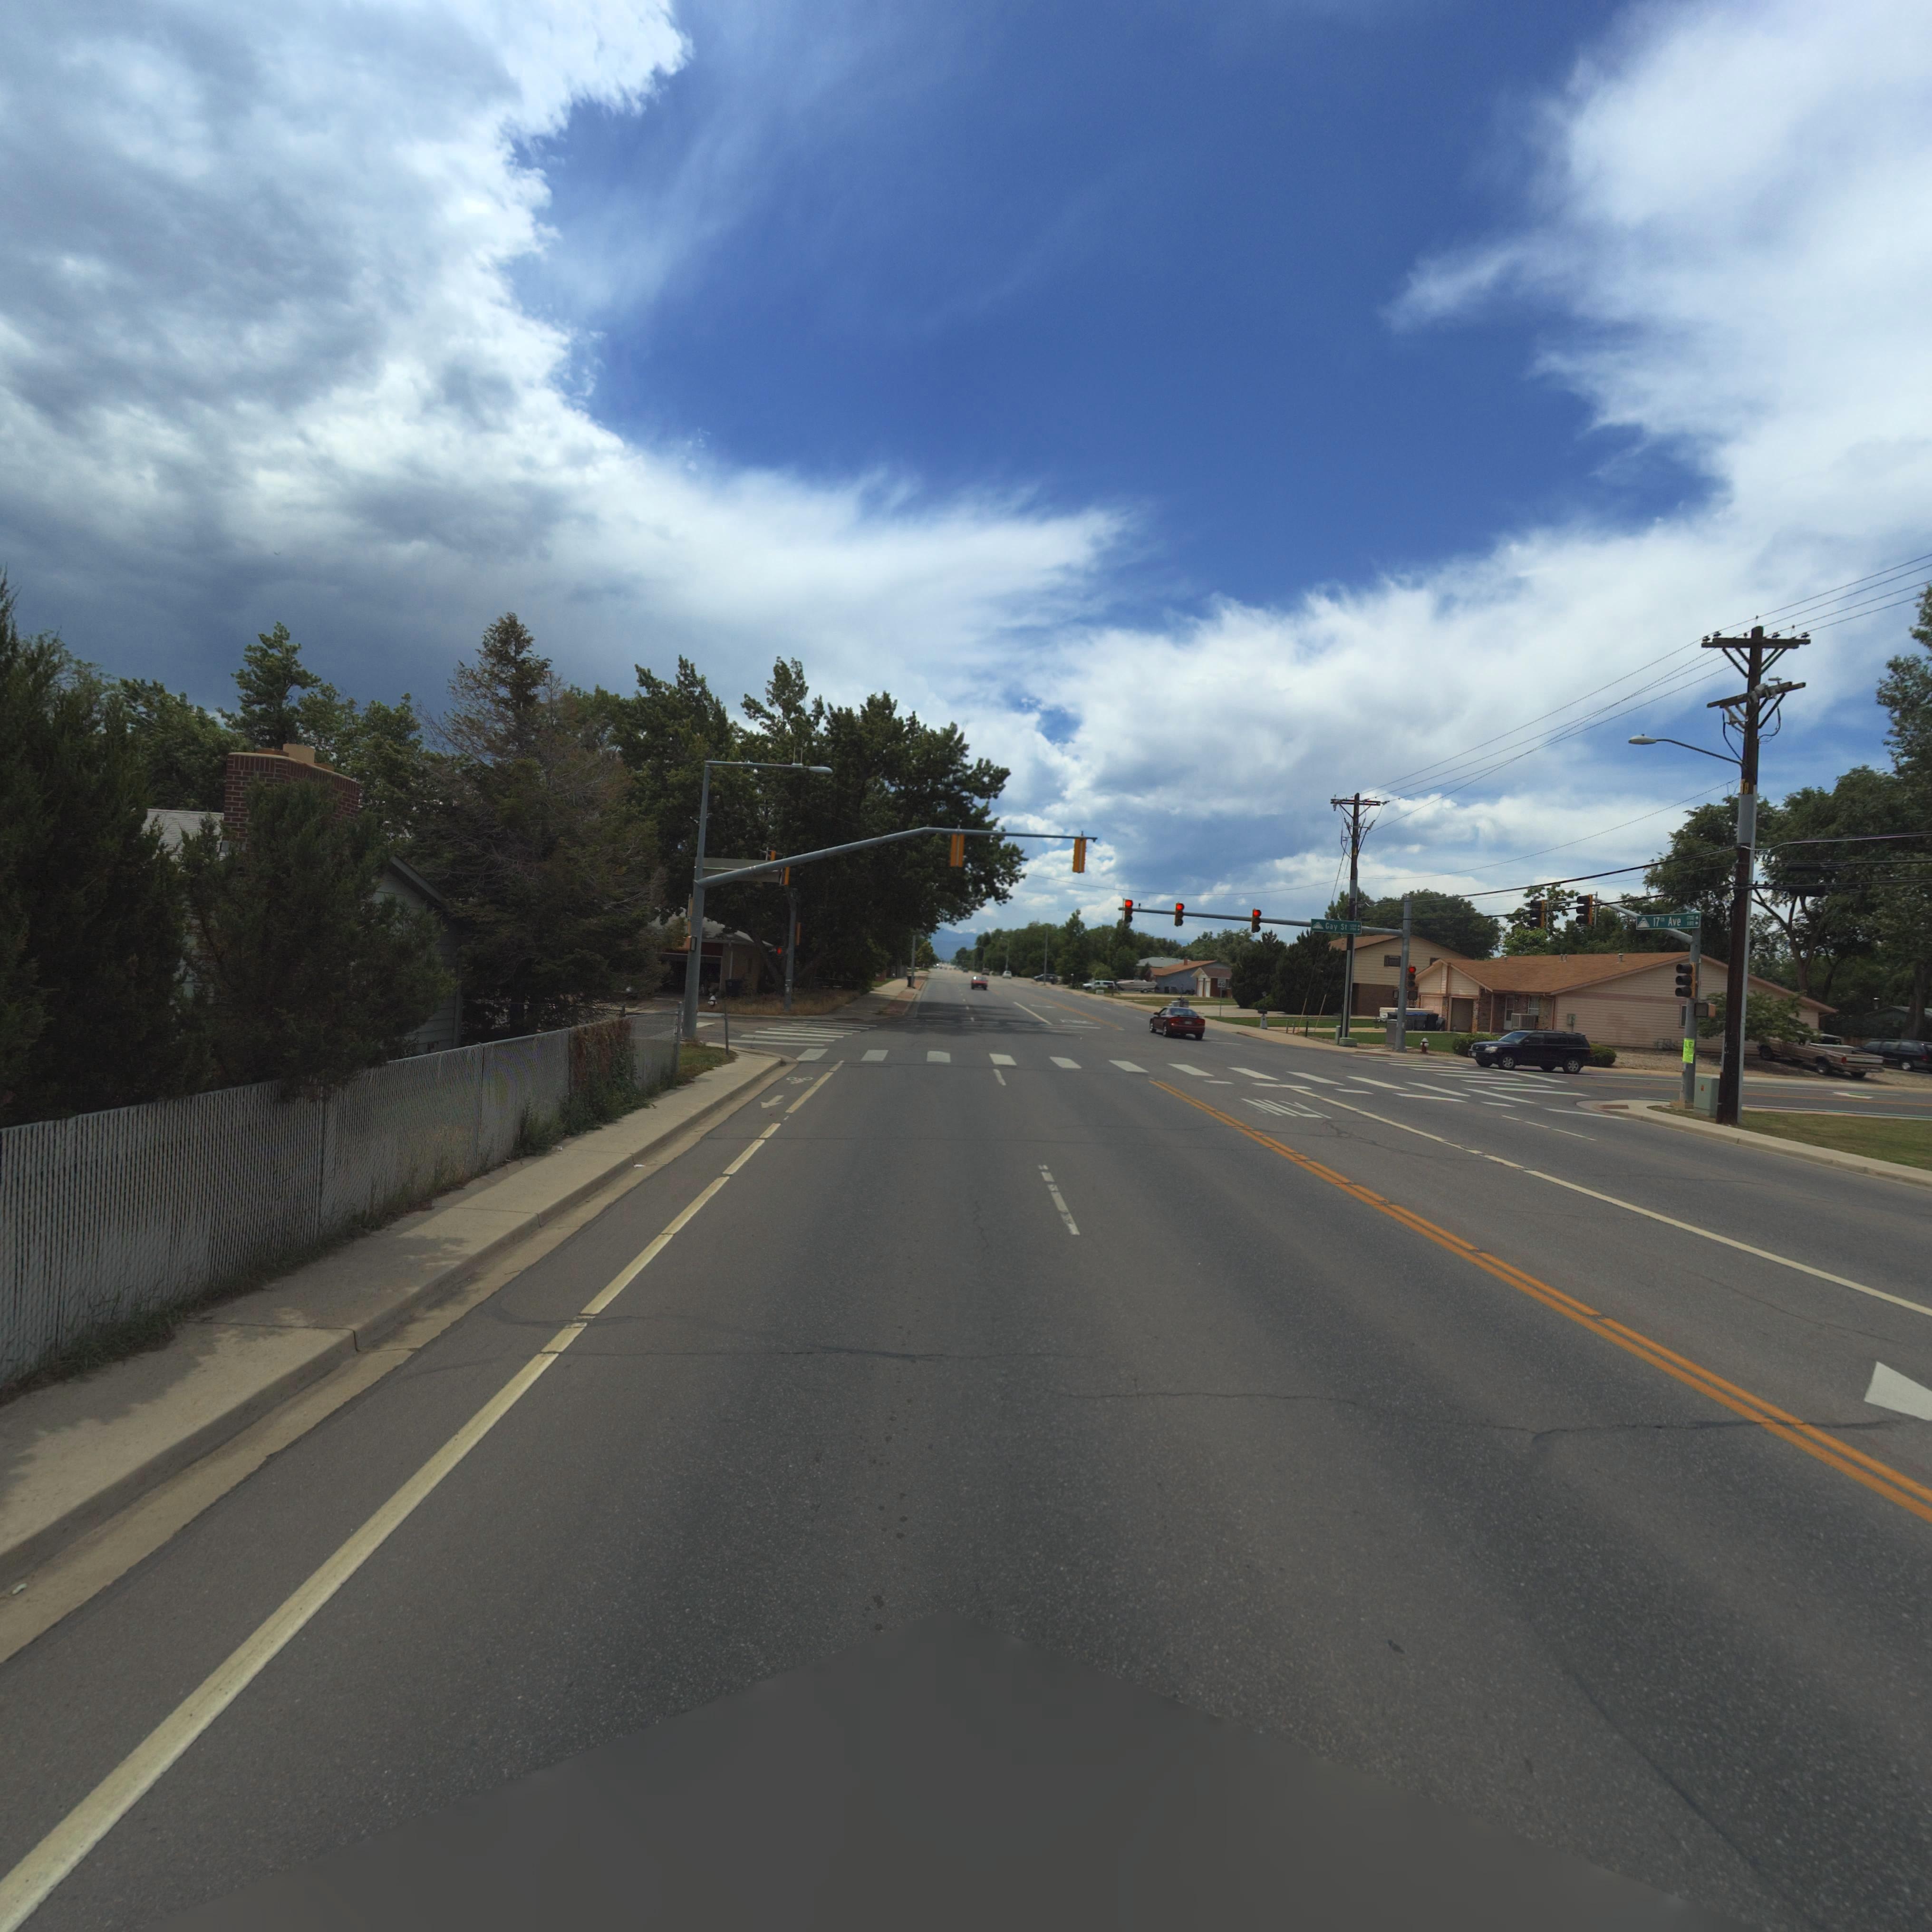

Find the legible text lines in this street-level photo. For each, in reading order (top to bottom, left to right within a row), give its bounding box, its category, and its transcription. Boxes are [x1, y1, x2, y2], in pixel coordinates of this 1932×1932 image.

[1325, 922, 1347, 931] BusinessName: Gay St
[1350, 924, 1357, 927] StreetNumberRange: 1*00
[1652, 916, 1681, 927] StreetName: 17th Ave
[1686, 920, 1694, 926] StreetNumberRange: *00